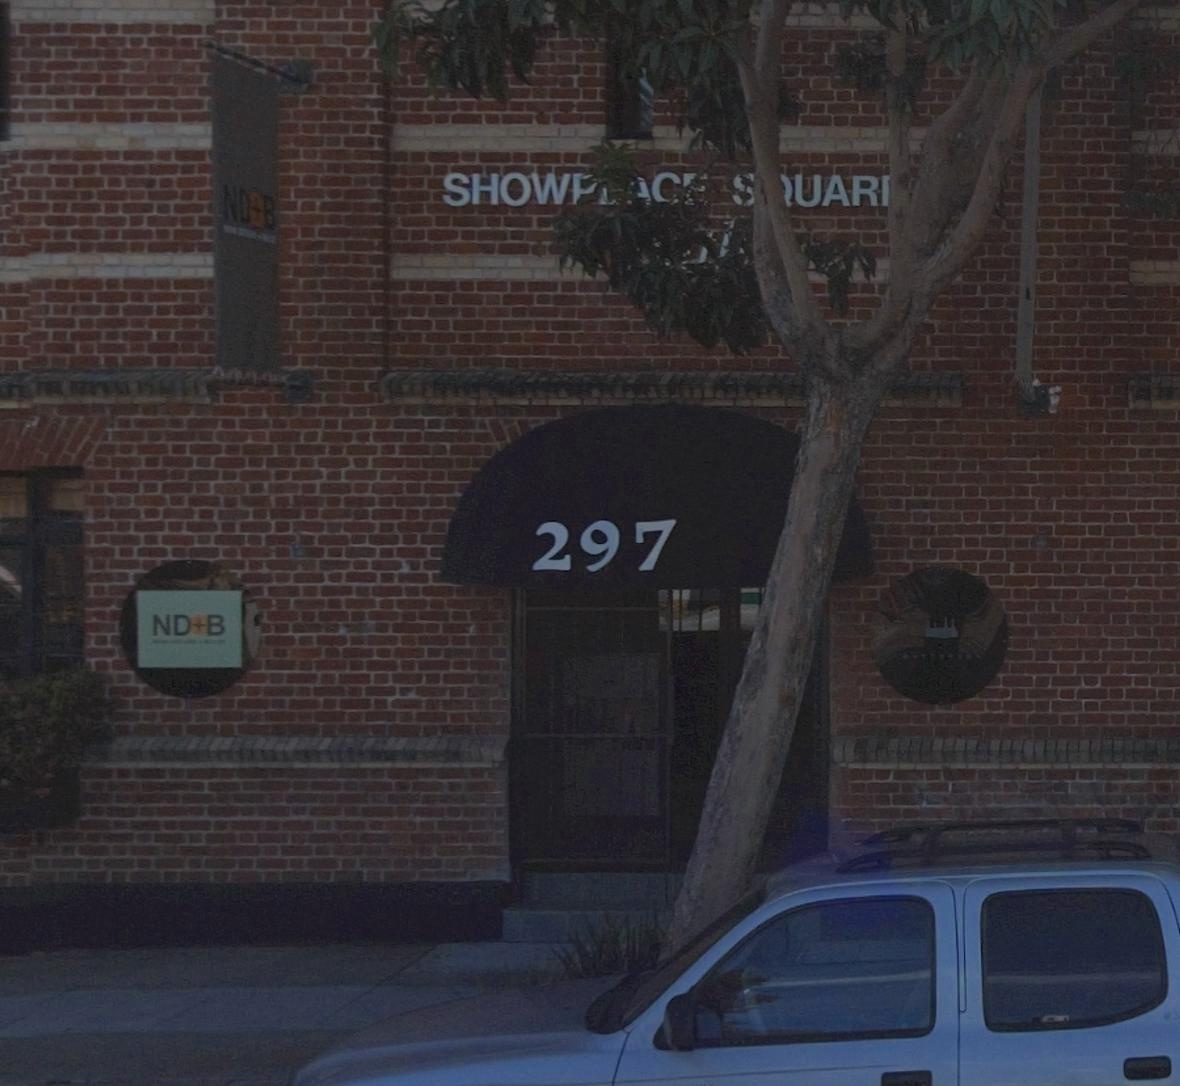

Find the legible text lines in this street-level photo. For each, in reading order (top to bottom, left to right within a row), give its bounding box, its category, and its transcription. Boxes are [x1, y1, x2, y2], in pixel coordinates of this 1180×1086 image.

[219, 177, 279, 236] BusinessName: ND*B
[439, 168, 579, 210] None: SHOW
[791, 169, 882, 211] None: UAR
[529, 515, 680, 575] StreetNumber: 297
[150, 611, 227, 638] BusinessName: ND*B